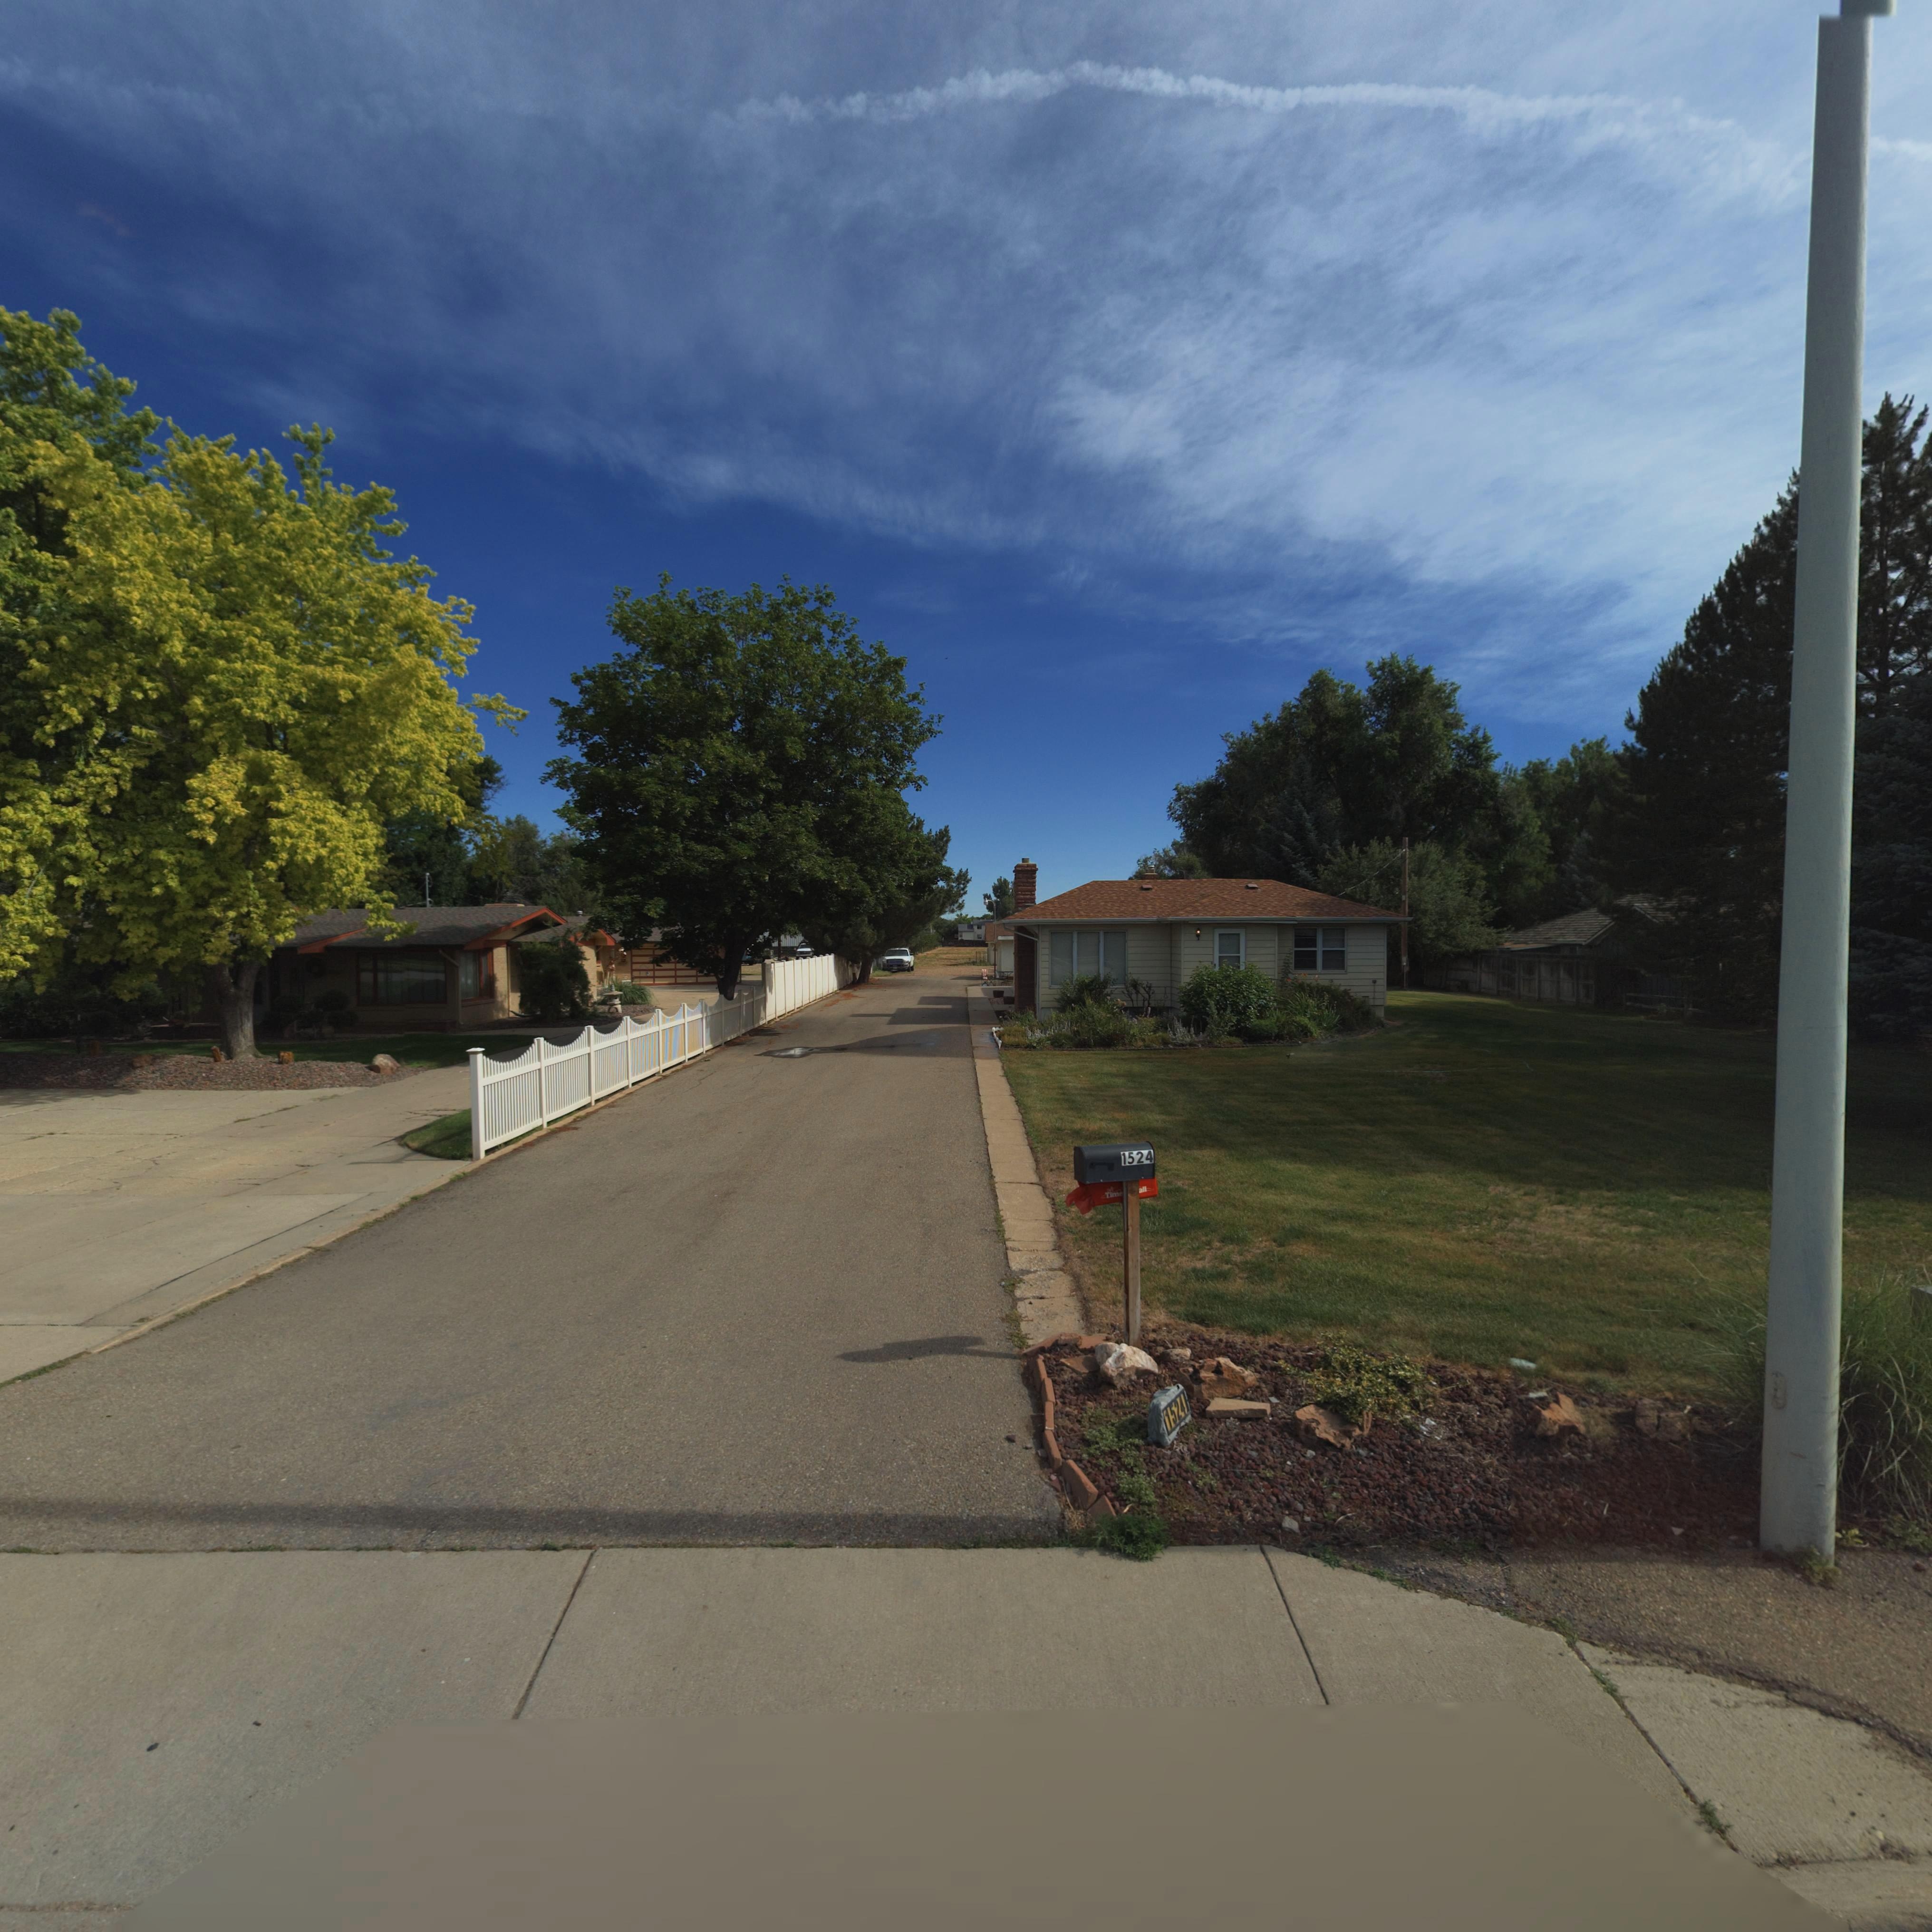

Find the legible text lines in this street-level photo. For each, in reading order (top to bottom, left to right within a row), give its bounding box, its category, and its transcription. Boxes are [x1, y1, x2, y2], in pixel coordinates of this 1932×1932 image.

[1121, 1149, 1154, 1165] StreetNumber: 1524
[1163, 1392, 1189, 1430] StreetNumber: 1524